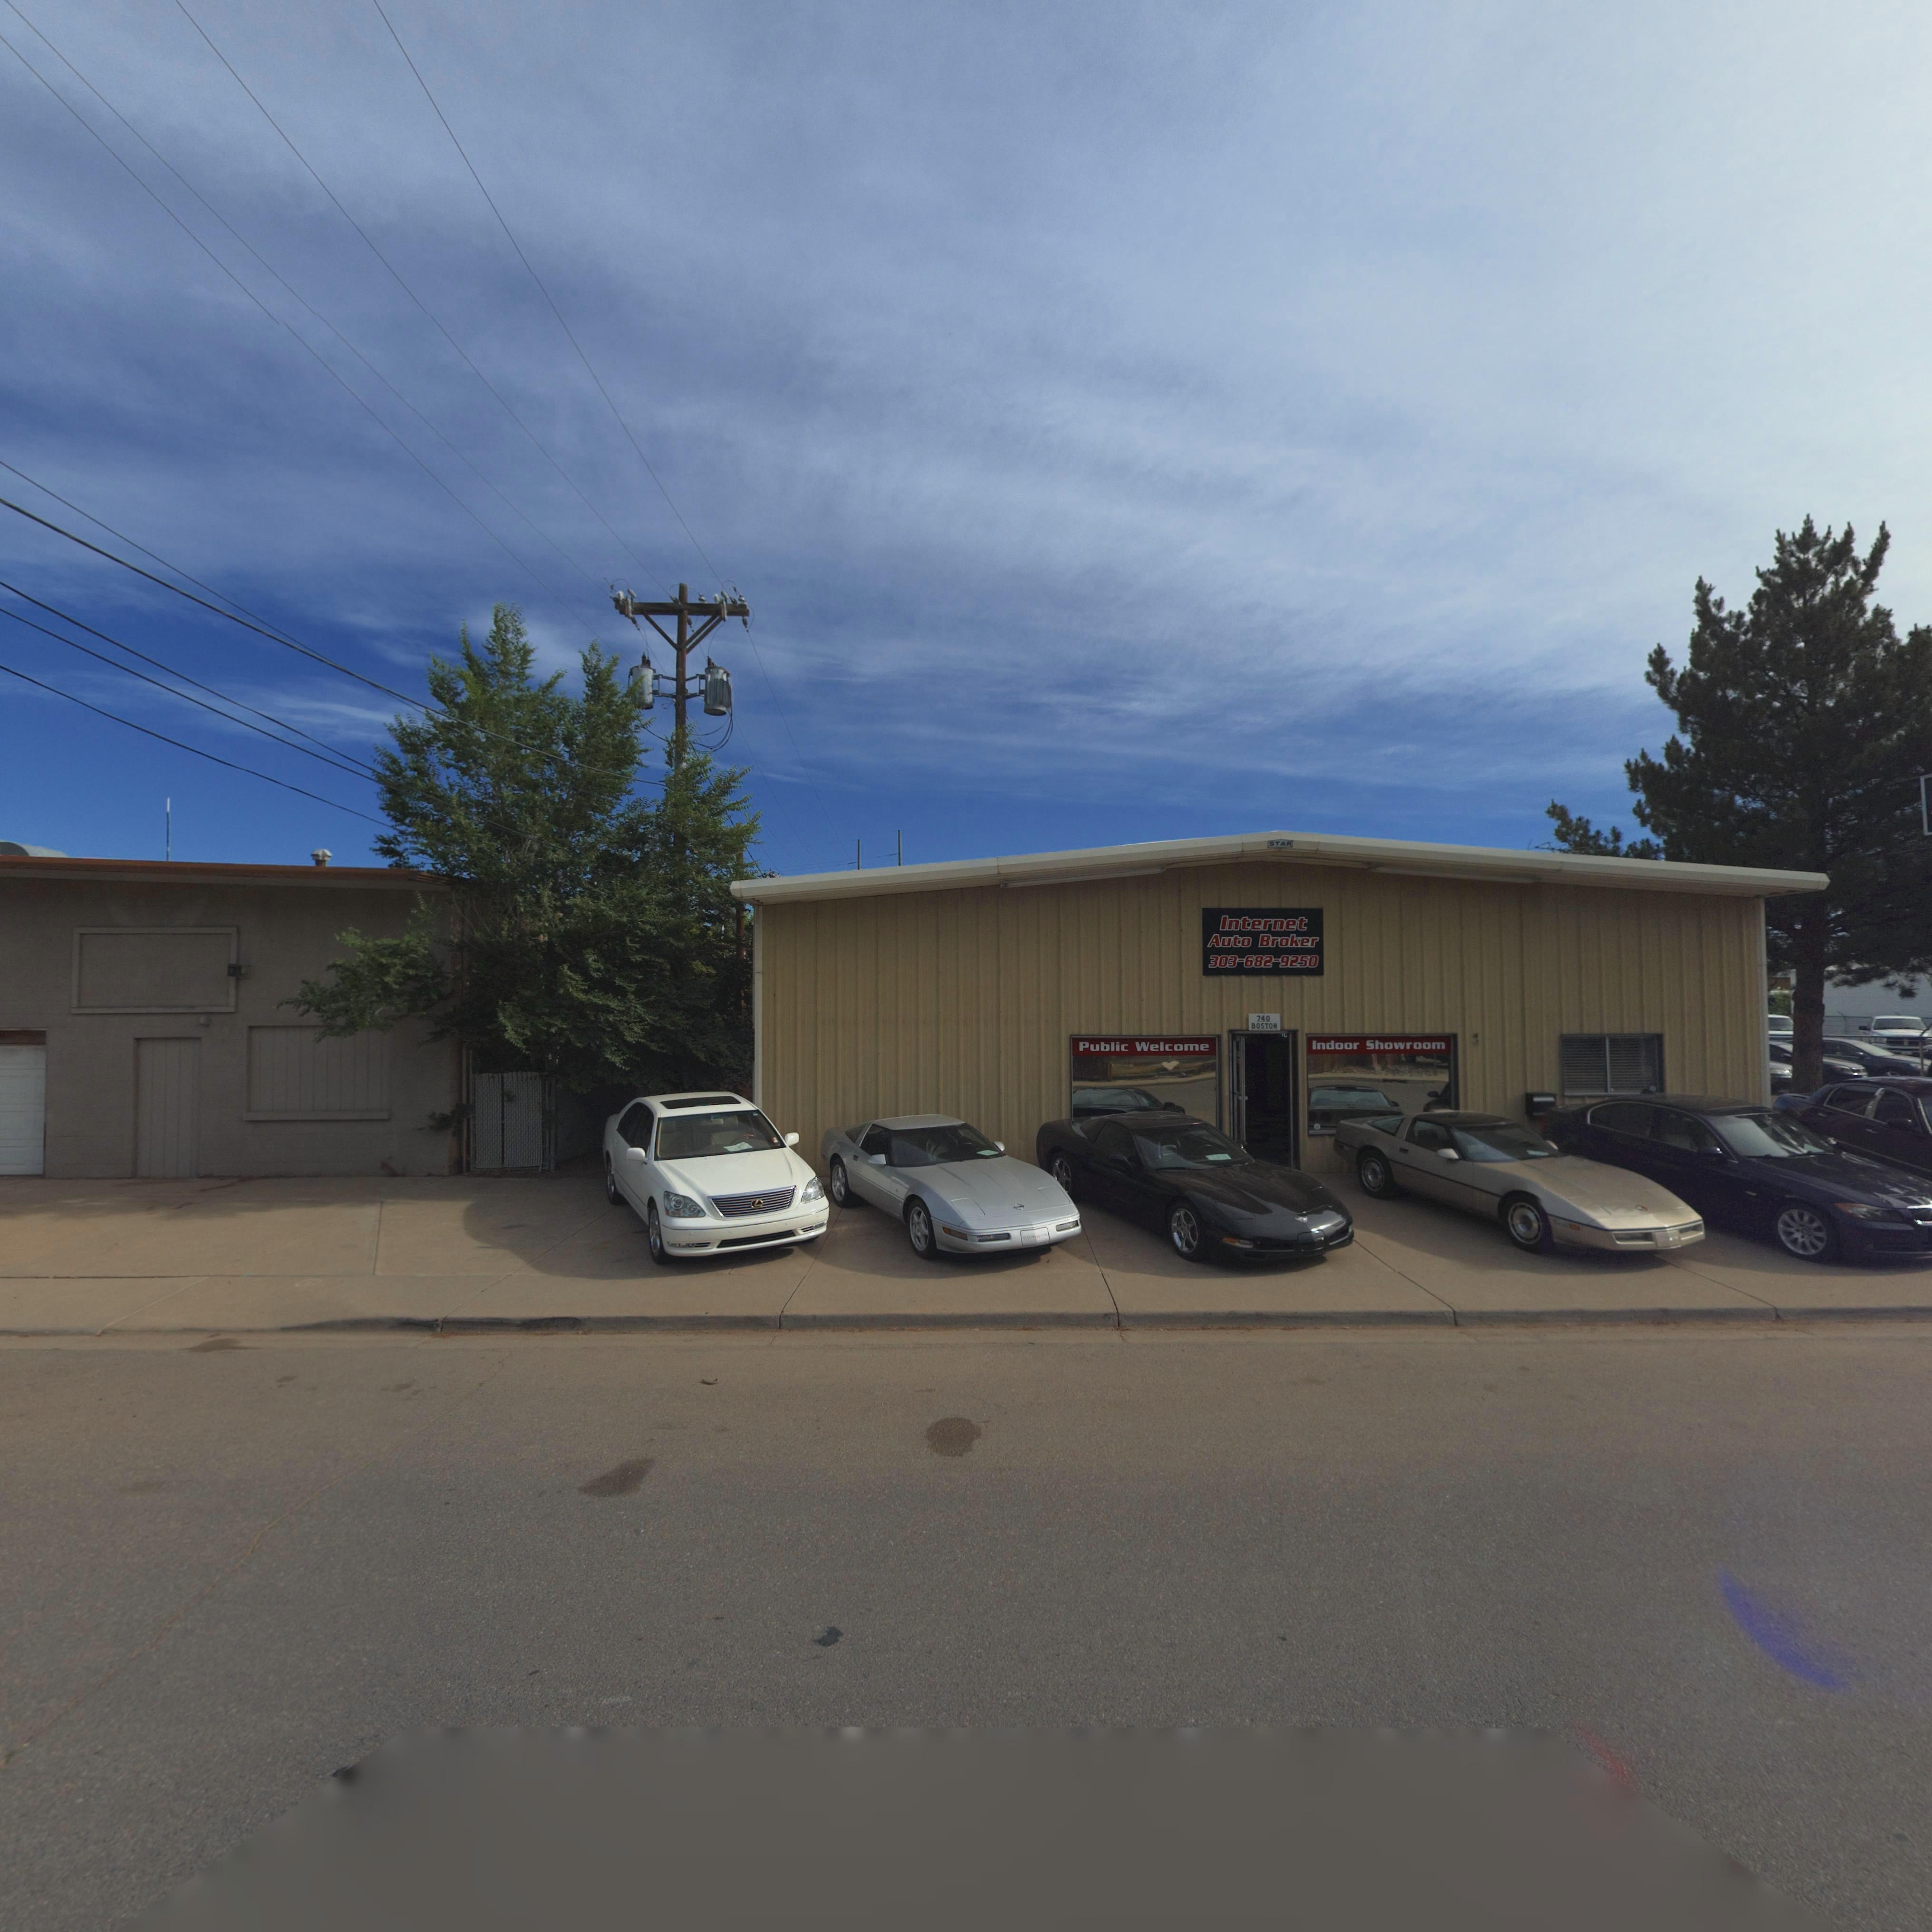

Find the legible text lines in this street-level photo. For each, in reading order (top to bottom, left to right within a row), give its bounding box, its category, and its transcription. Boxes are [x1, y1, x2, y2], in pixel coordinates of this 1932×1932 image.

[1219, 915, 1308, 931] BusinessName: Internet
[1207, 933, 1319, 948] BusinessName: Auto Broker
[1256, 1015, 1270, 1022] StreetNumber: 740
[1251, 1023, 1277, 1029] StreetName: BOSTON